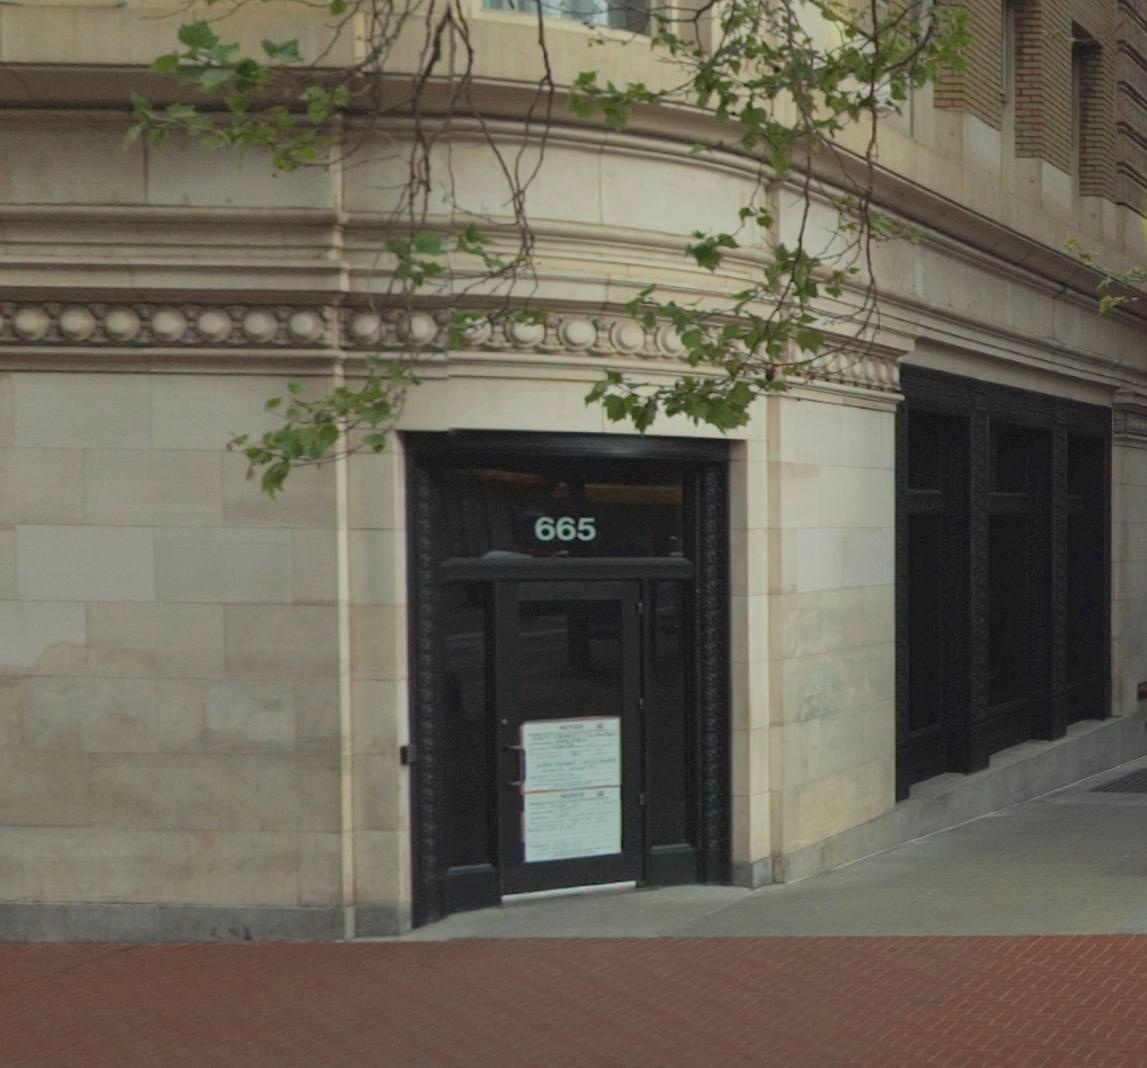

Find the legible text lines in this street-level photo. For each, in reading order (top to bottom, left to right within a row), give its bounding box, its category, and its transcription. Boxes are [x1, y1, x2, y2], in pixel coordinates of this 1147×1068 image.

[534, 514, 598, 542] StreetNumber: 665